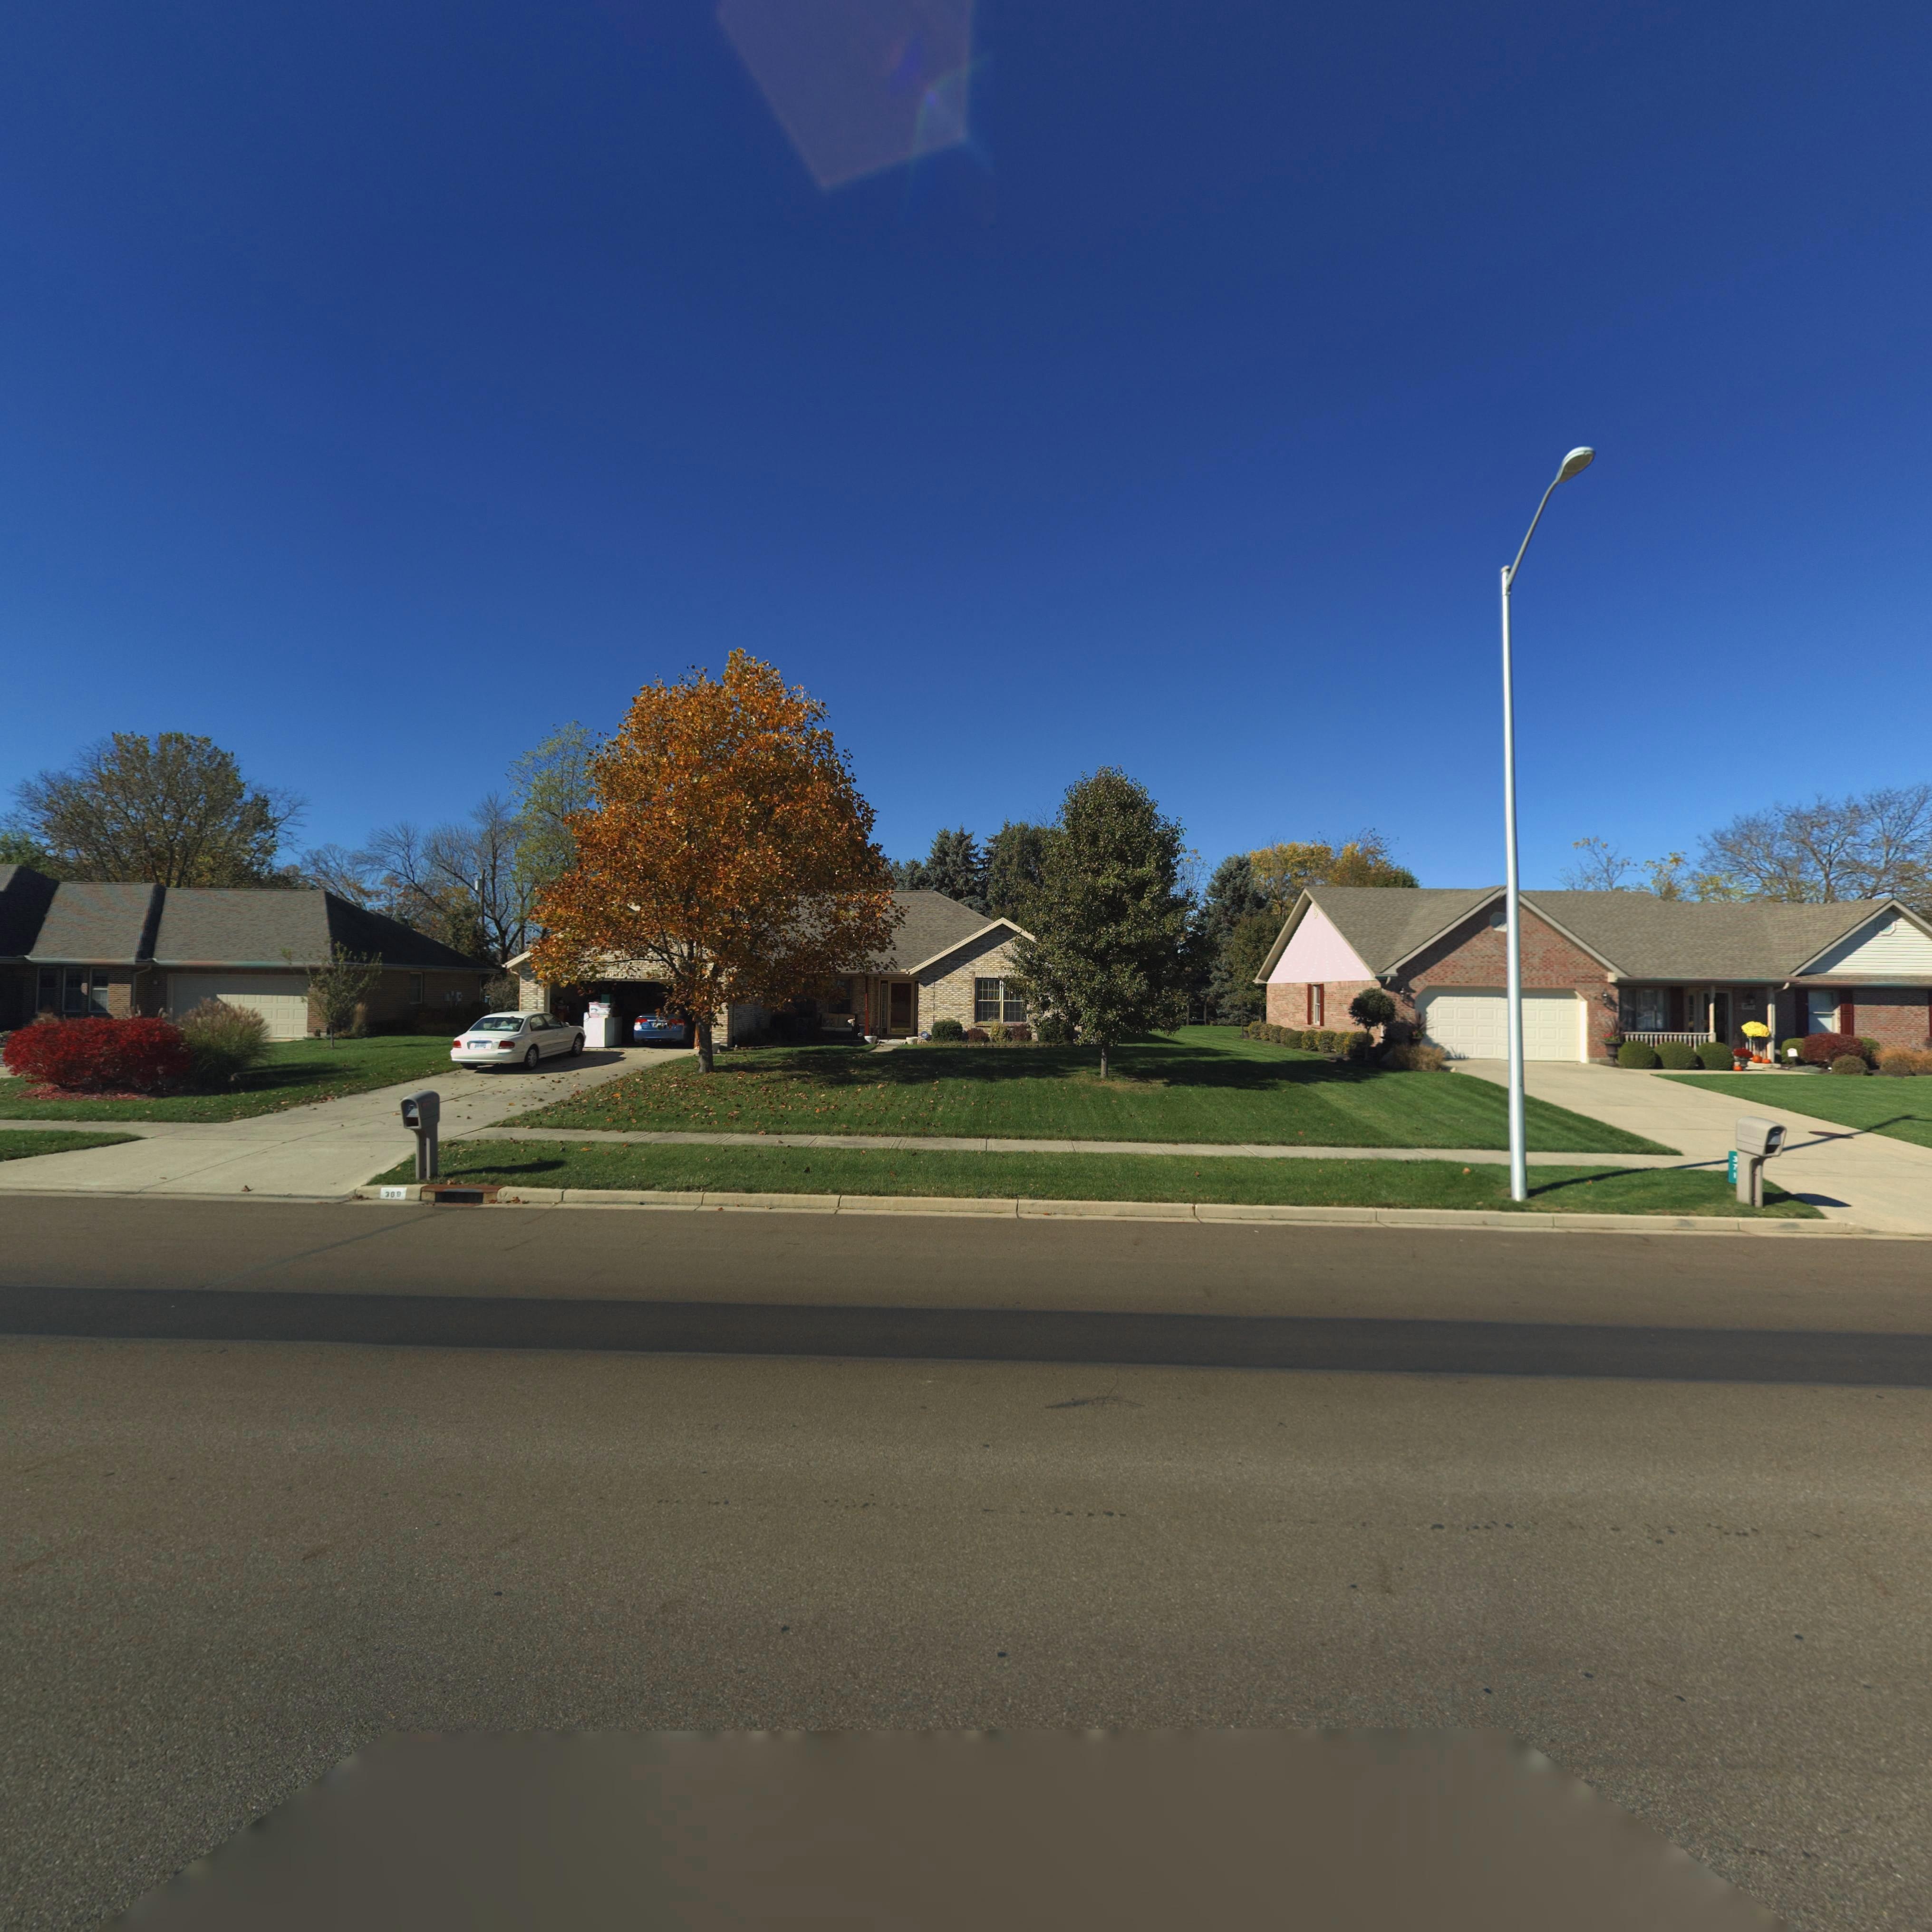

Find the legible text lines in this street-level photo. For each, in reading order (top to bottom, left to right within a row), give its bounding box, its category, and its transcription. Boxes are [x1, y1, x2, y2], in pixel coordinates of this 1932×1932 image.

[1732, 1155, 1739, 1179] StreetNumber: 371
[385, 1191, 401, 1198] StreetNumber: 369